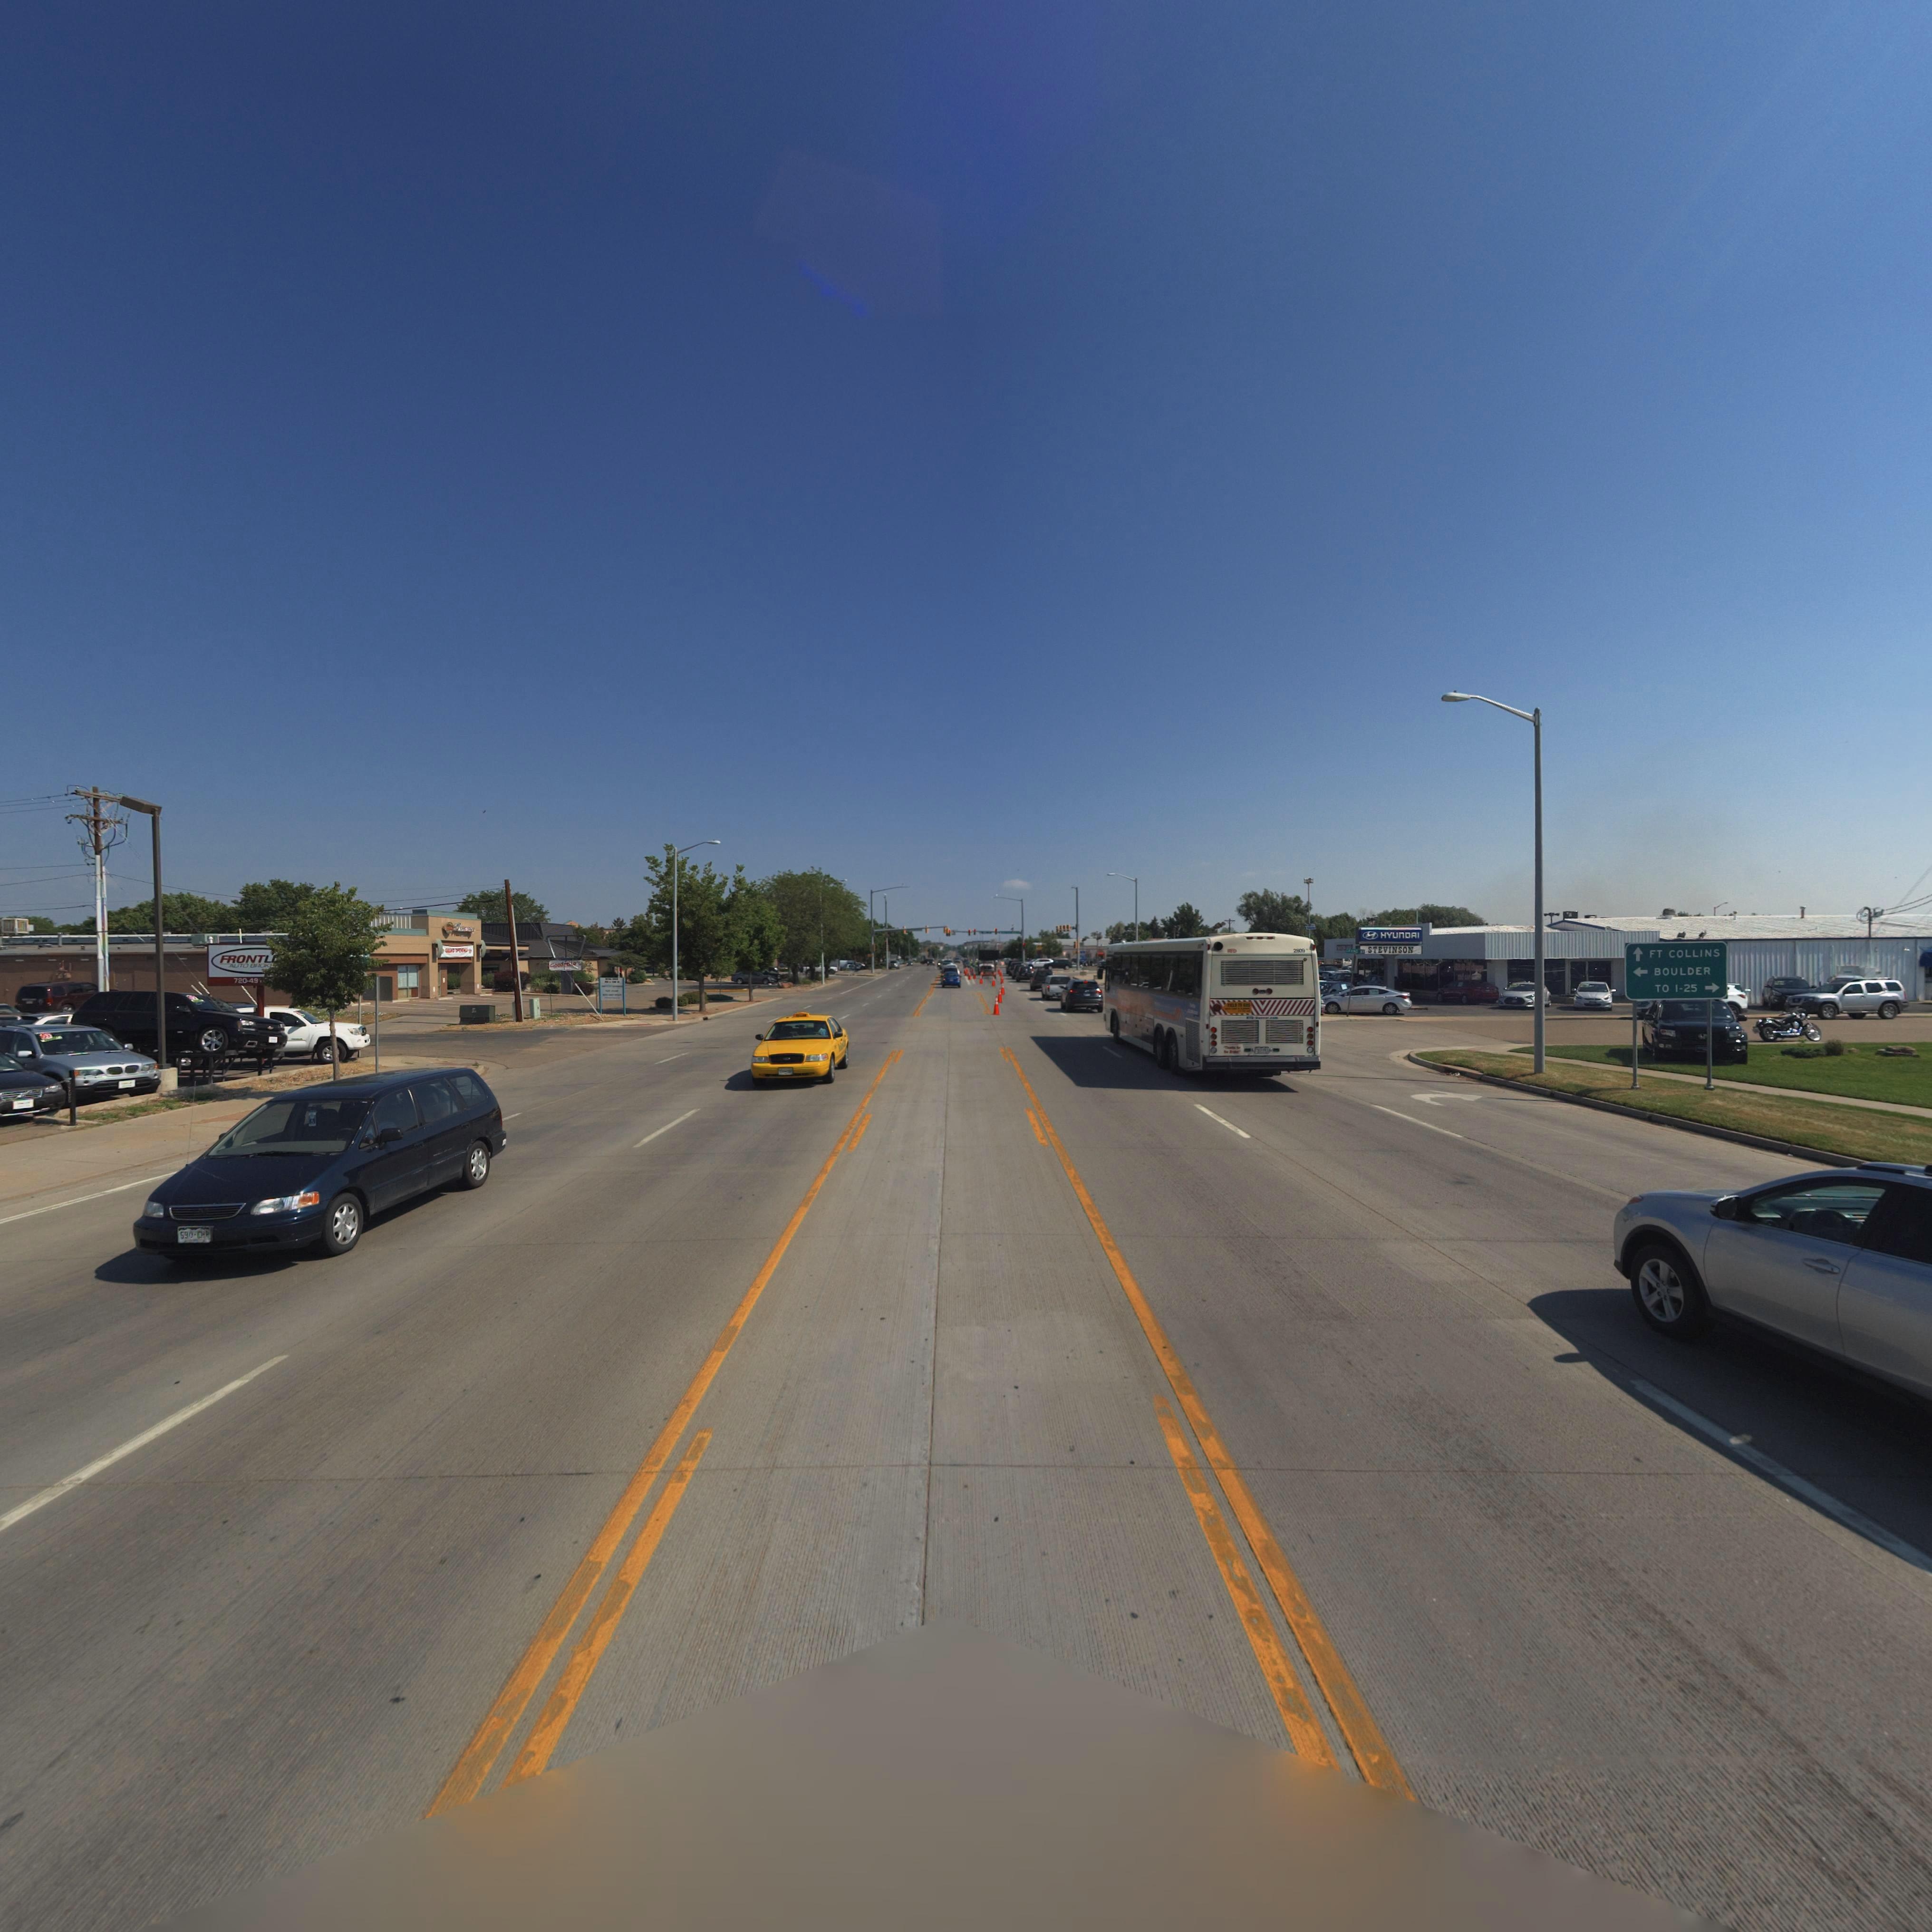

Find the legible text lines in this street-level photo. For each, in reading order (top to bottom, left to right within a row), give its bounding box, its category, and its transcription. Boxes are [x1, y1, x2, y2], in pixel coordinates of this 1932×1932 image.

[1380, 932, 1420, 939] BusinessName: HYUnDAI
[1346, 948, 1365, 954] StreetName: G***D AV
[1368, 946, 1414, 953] BusinessName: STEVINSON
[219, 955, 271, 963] BusinessName: FRONTL
[228, 963, 270, 968] BusinessName: AUTO BROK
[549, 960, 581, 969] BusinessName: Goodfella's